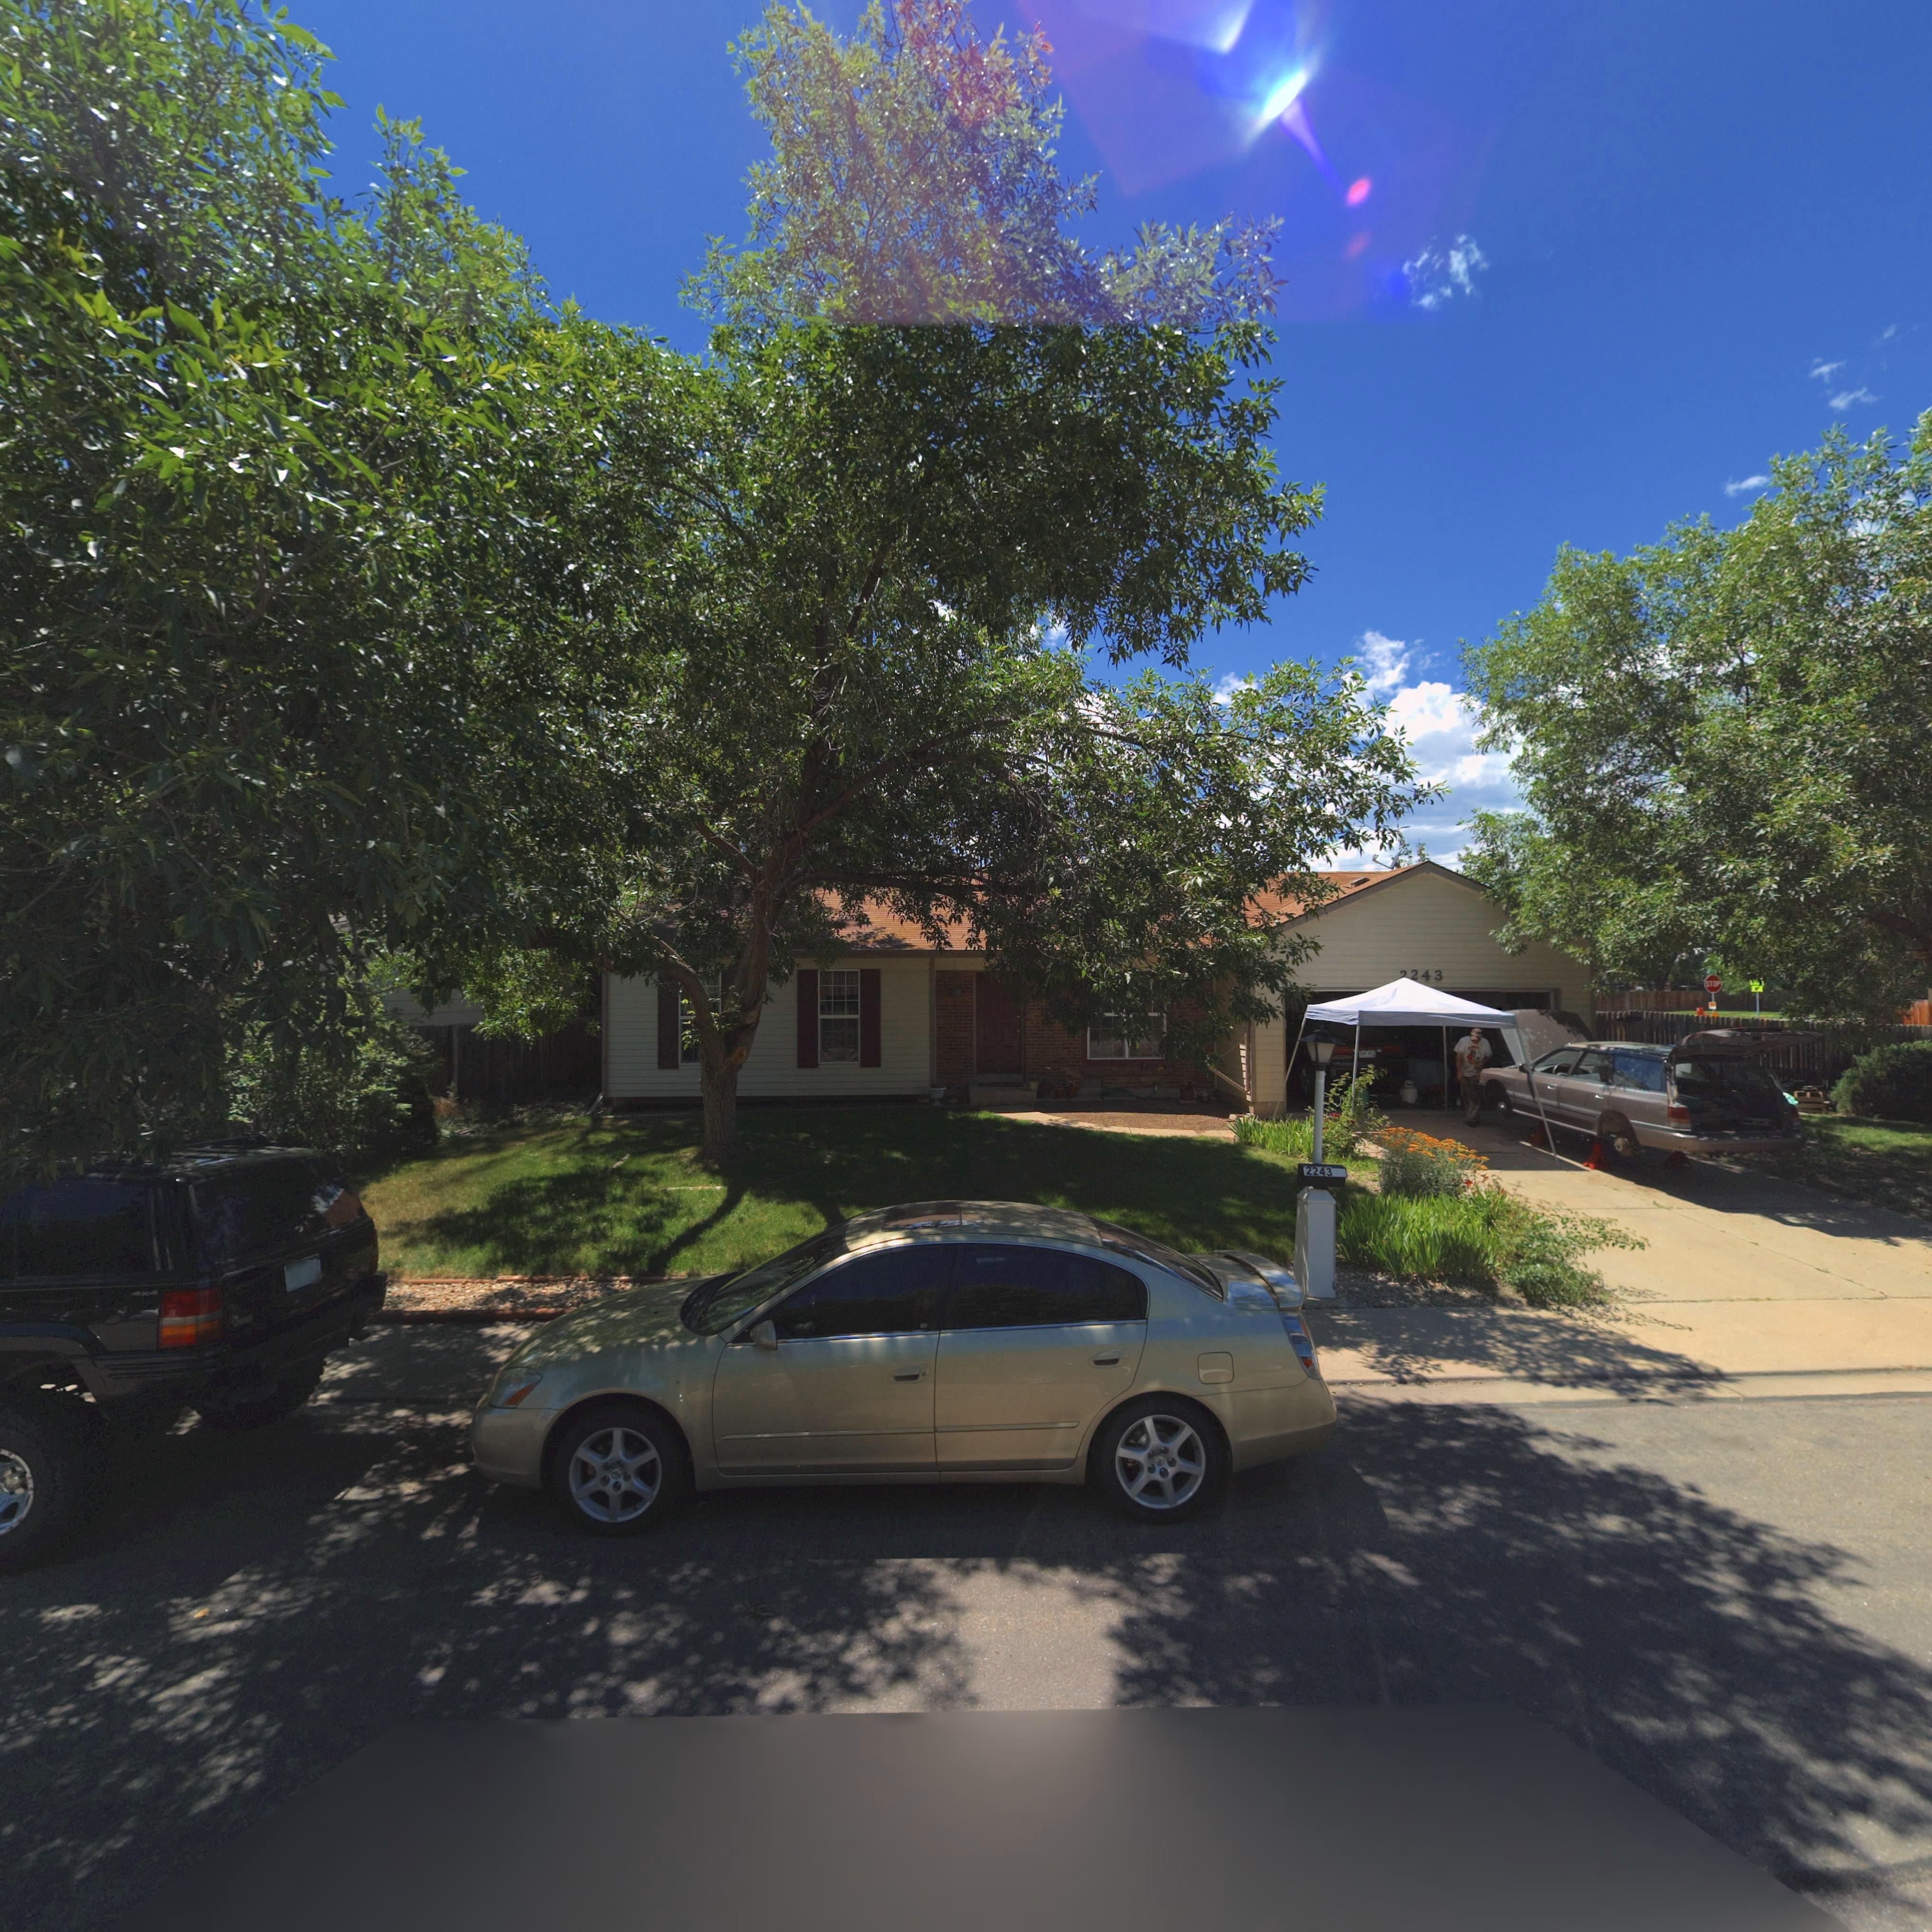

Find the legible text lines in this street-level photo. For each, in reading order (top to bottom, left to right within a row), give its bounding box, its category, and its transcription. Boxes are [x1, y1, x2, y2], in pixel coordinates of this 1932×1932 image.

[1399, 968, 1443, 981] StreetNumber: *243
[1304, 1165, 1333, 1177] StreetNumber: 2243